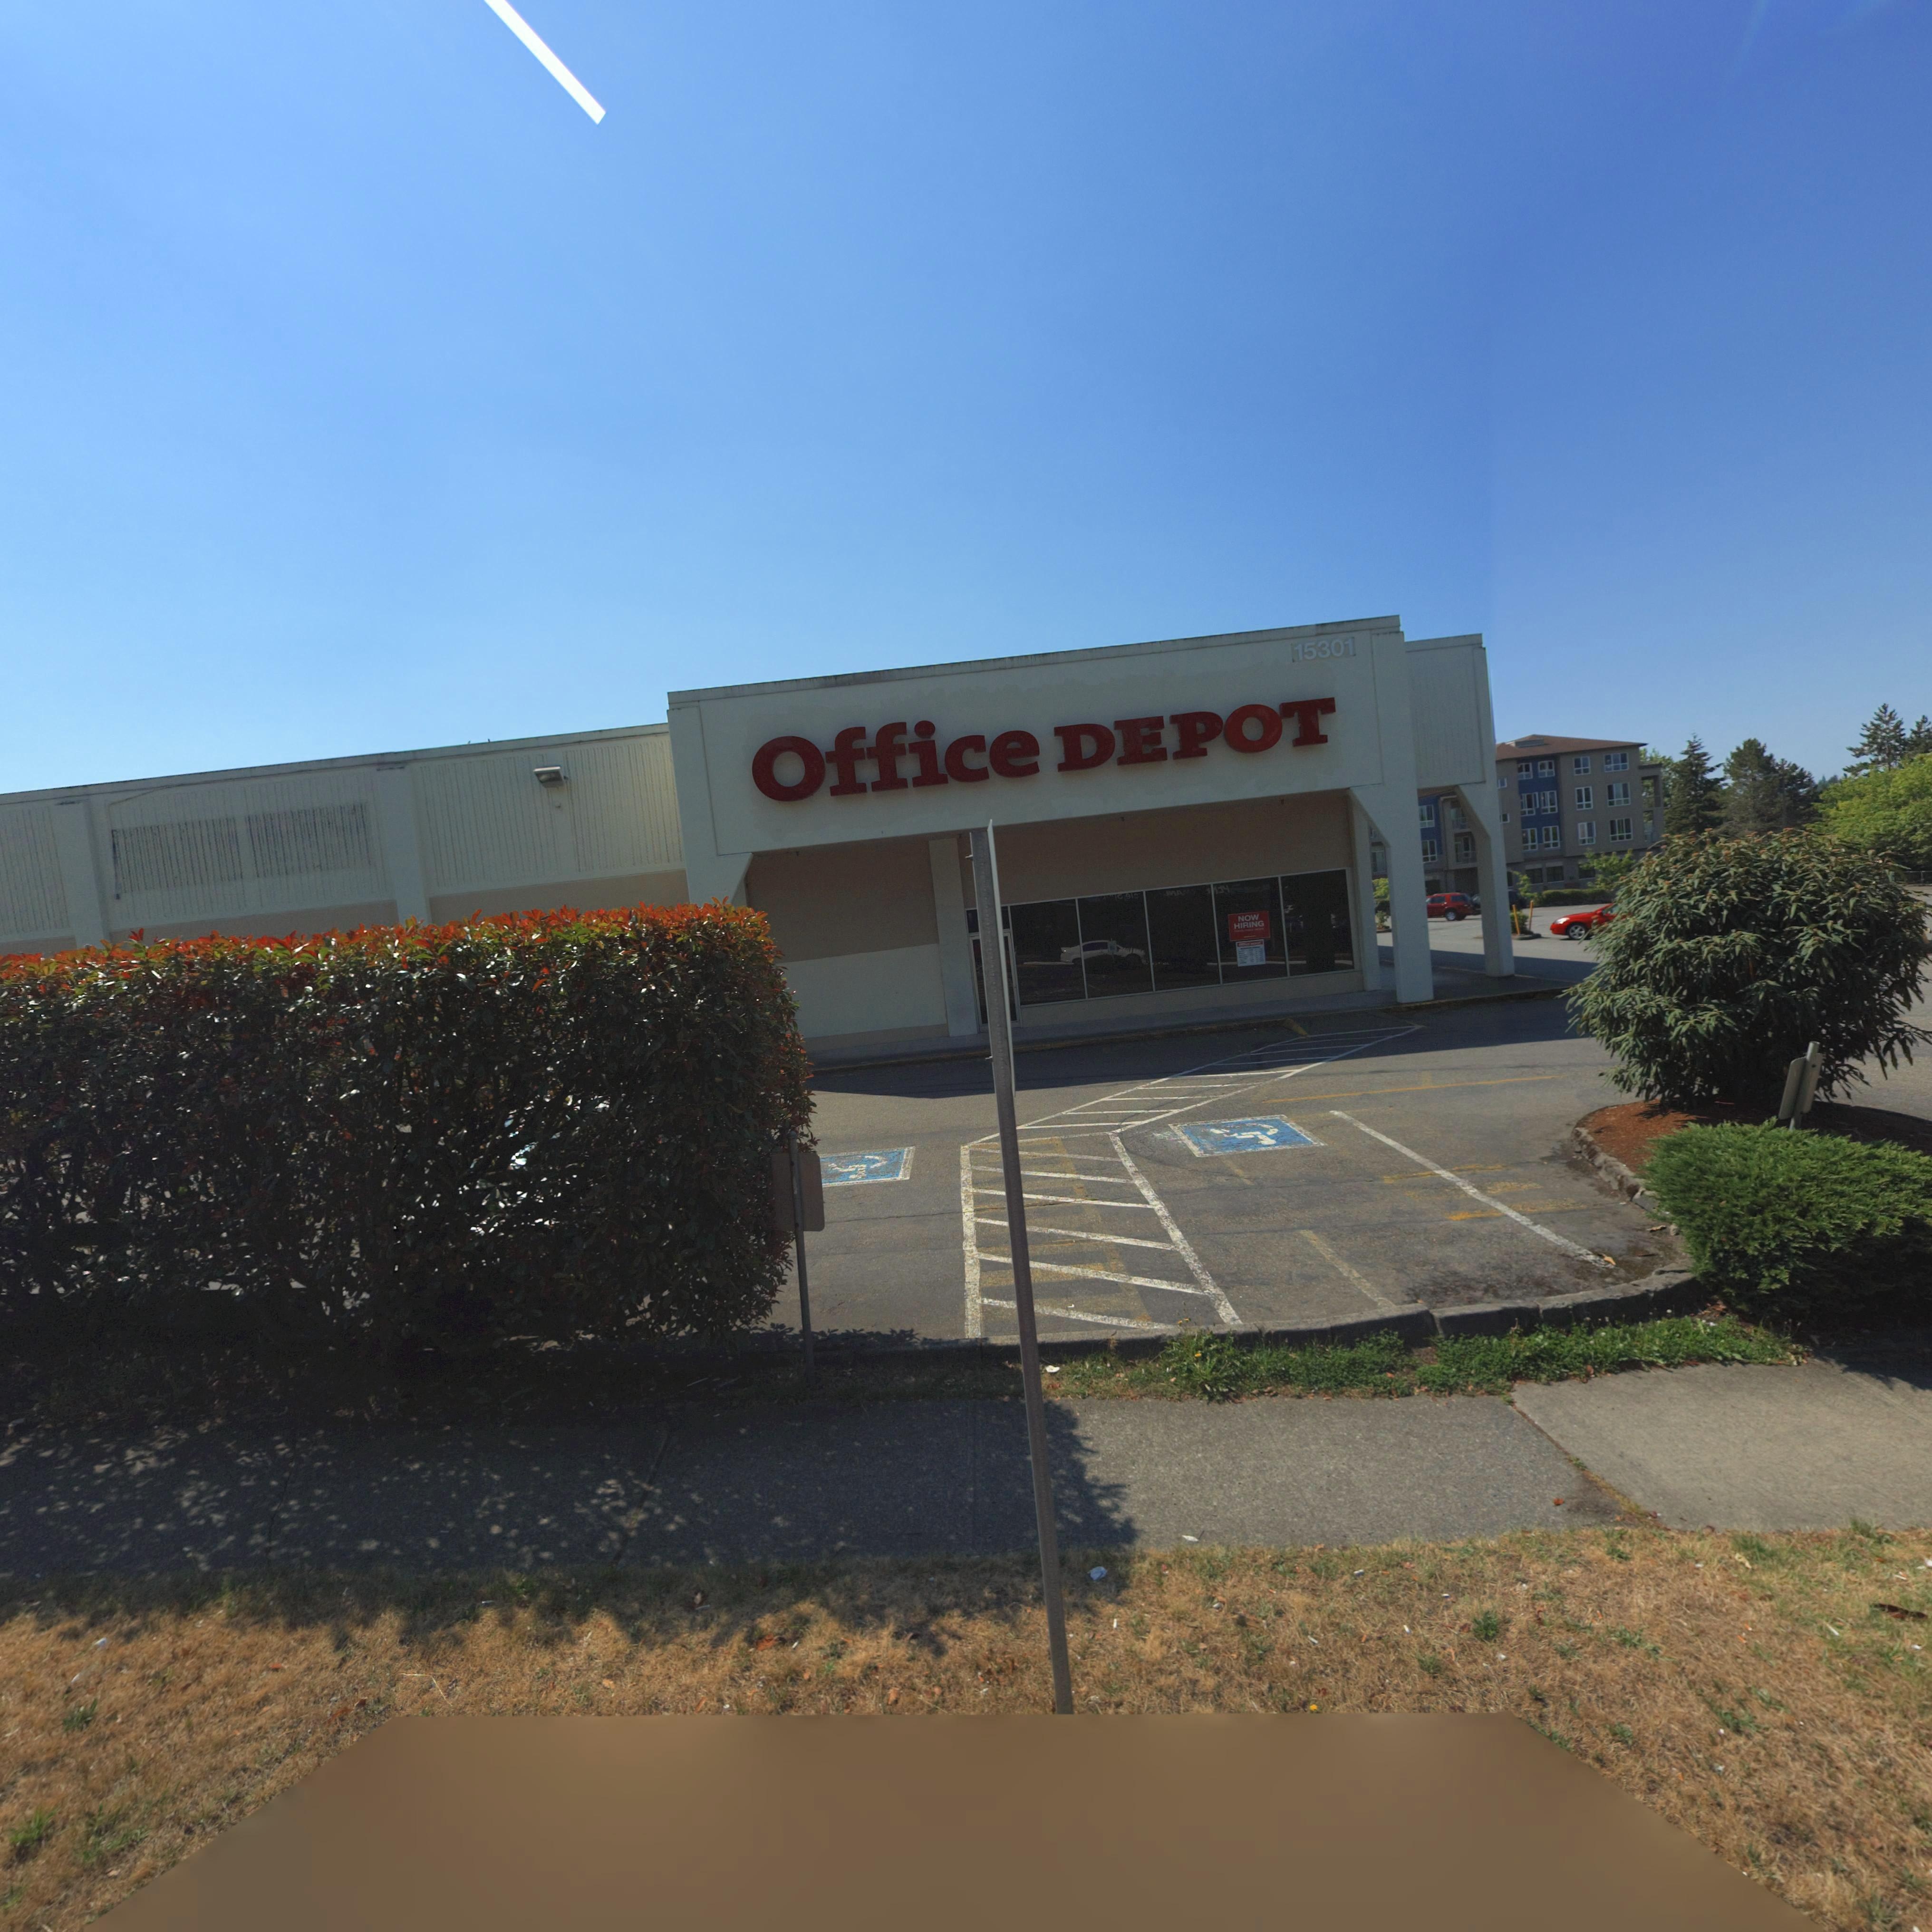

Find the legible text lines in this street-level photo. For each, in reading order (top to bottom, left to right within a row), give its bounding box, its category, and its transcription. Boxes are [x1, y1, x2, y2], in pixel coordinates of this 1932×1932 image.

[749, 697, 1338, 805] BusinessName: Office DEPOT